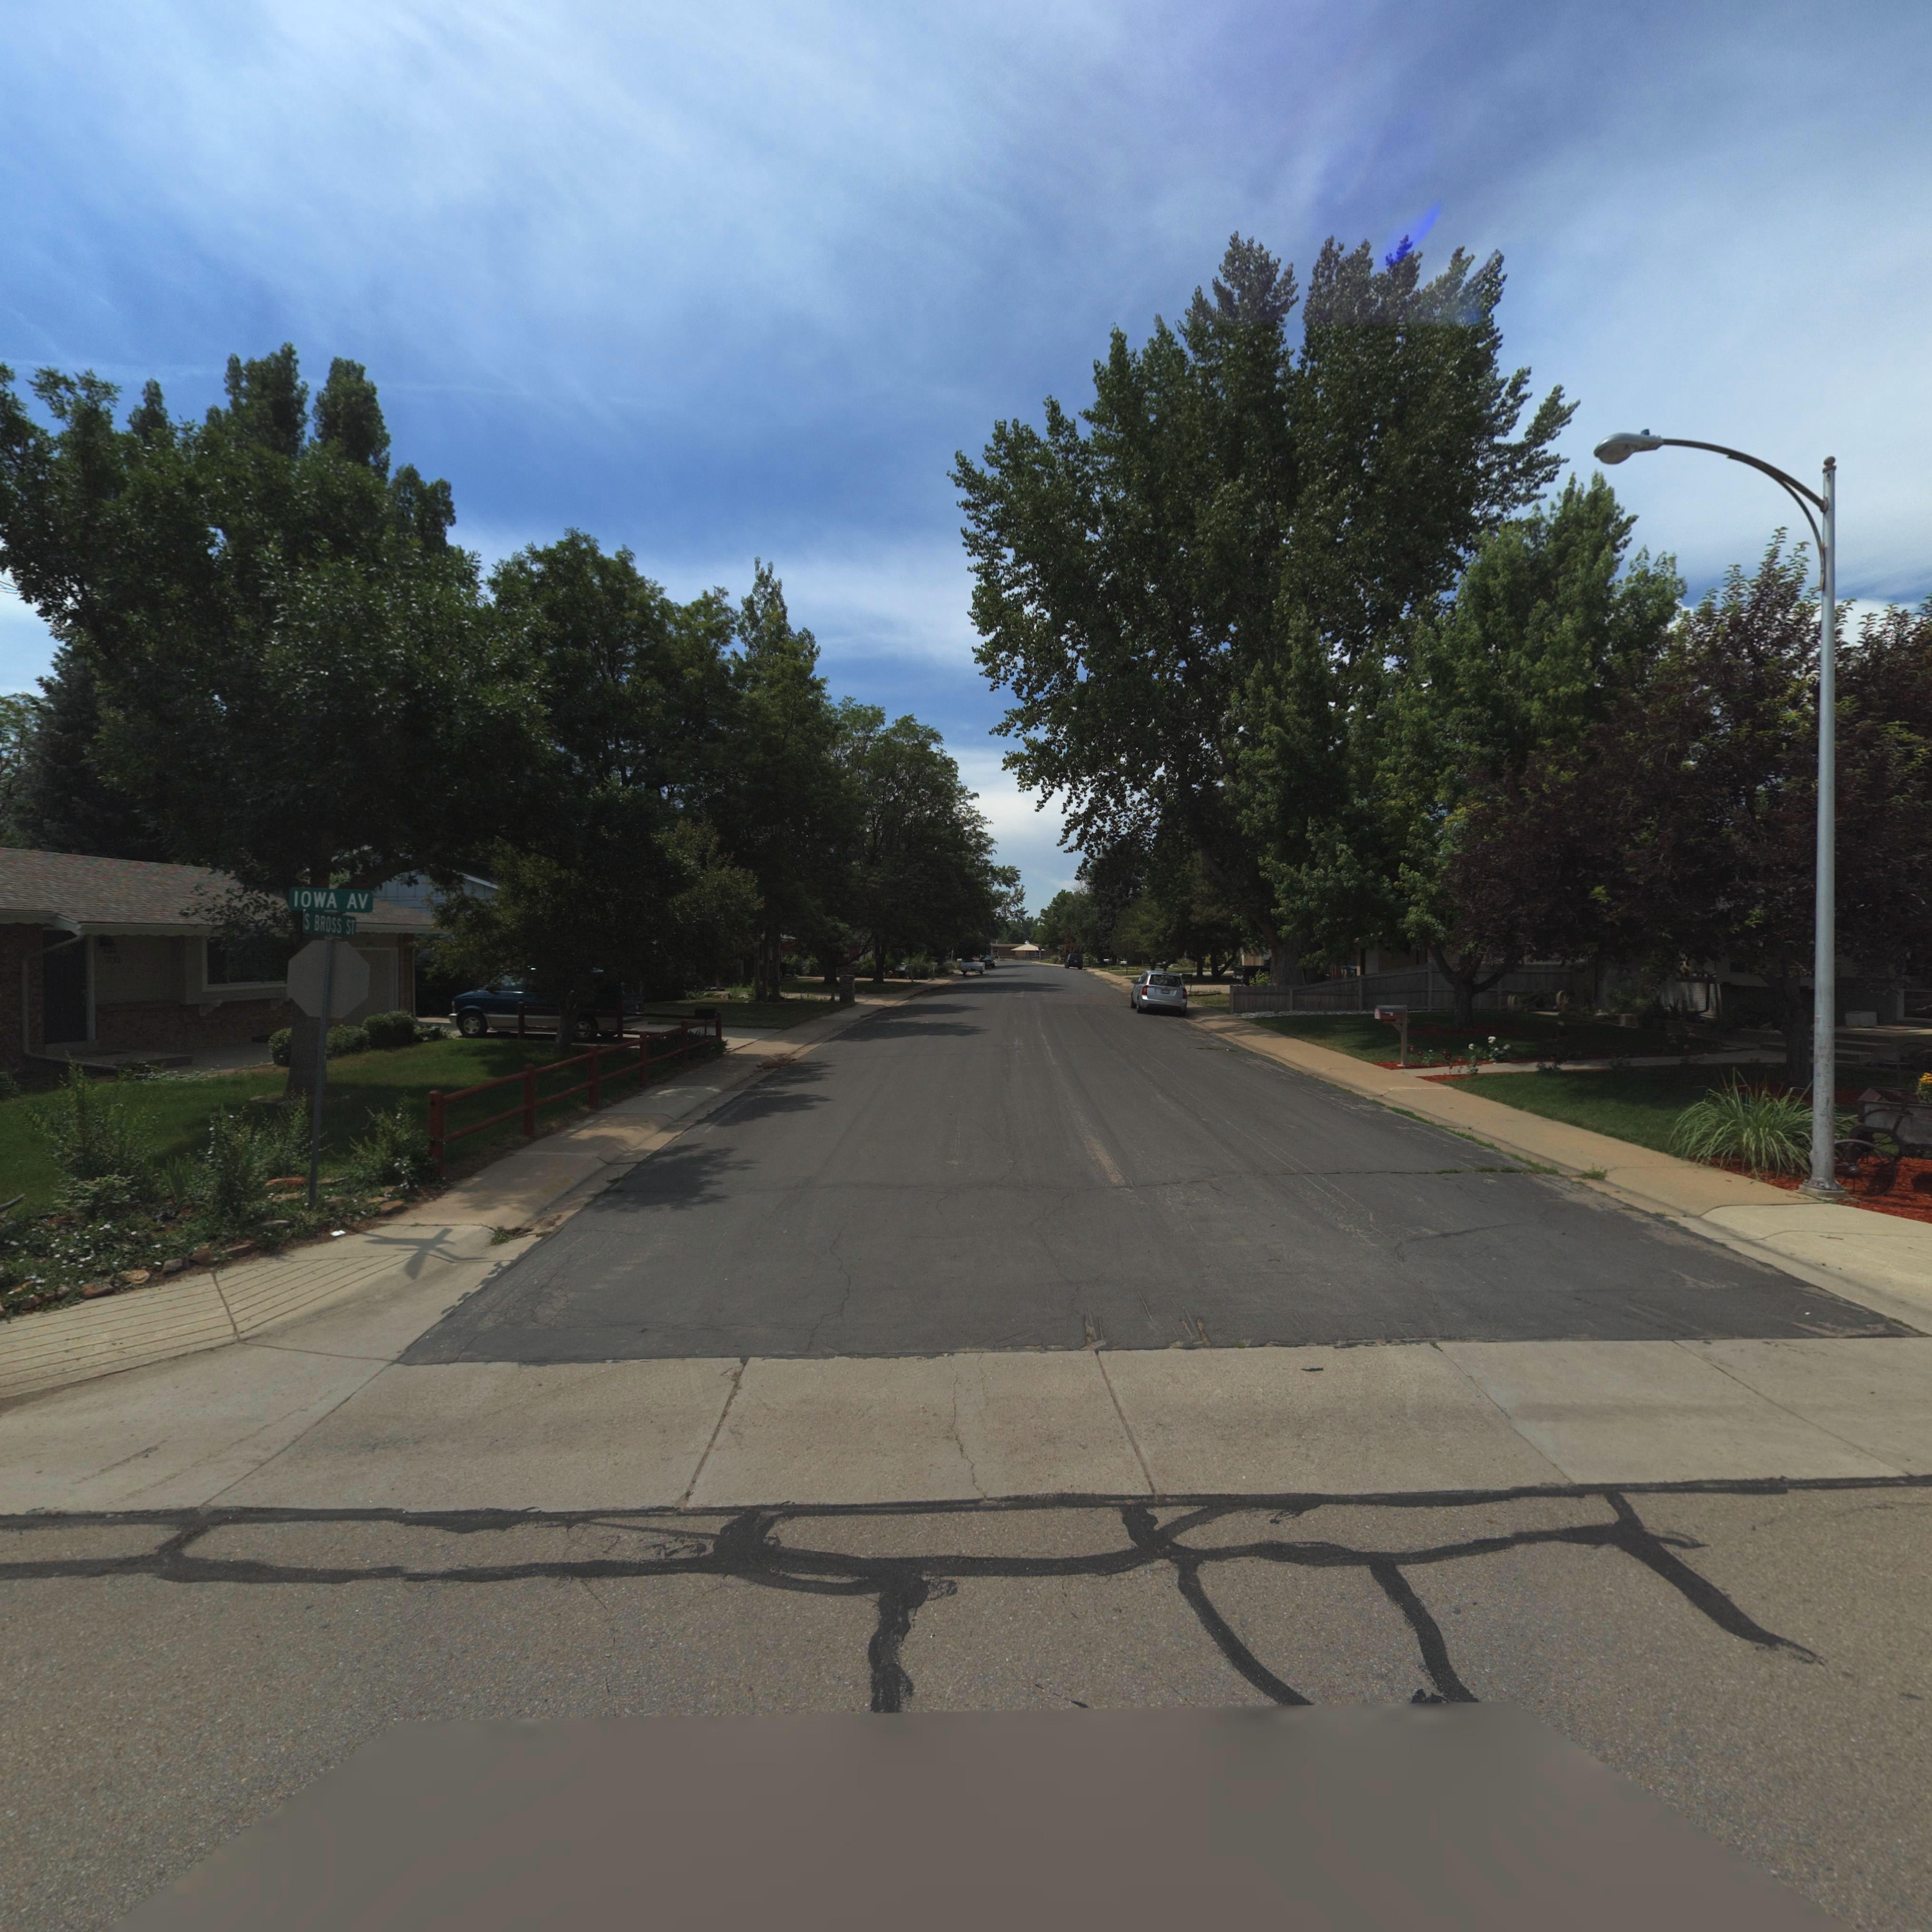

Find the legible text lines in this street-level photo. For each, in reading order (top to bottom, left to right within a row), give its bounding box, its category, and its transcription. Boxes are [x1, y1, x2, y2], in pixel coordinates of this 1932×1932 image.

[294, 891, 367, 909] StreetName: IOWA AV
[303, 913, 355, 936] StreetName: S BROSS ST